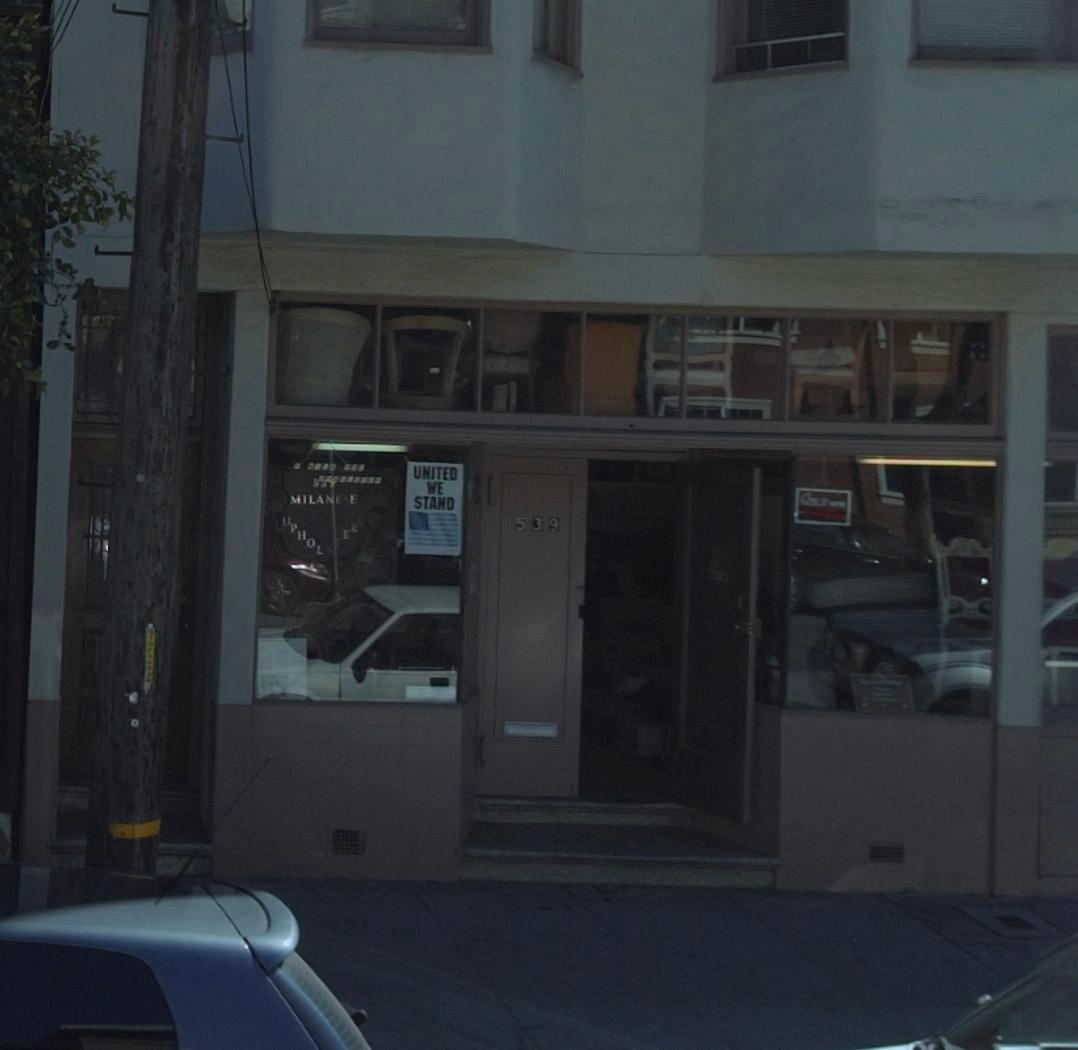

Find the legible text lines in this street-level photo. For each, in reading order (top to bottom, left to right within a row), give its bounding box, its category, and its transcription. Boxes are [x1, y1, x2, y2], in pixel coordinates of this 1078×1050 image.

[412, 464, 458, 481] None: UNITED
[424, 480, 445, 496] None: WE
[289, 493, 359, 507] None: MILANESE
[414, 495, 455, 512] None: STAND
[514, 516, 560, 533] StreetNumber: 539
[280, 515, 365, 557] None: UPHOLSTERY